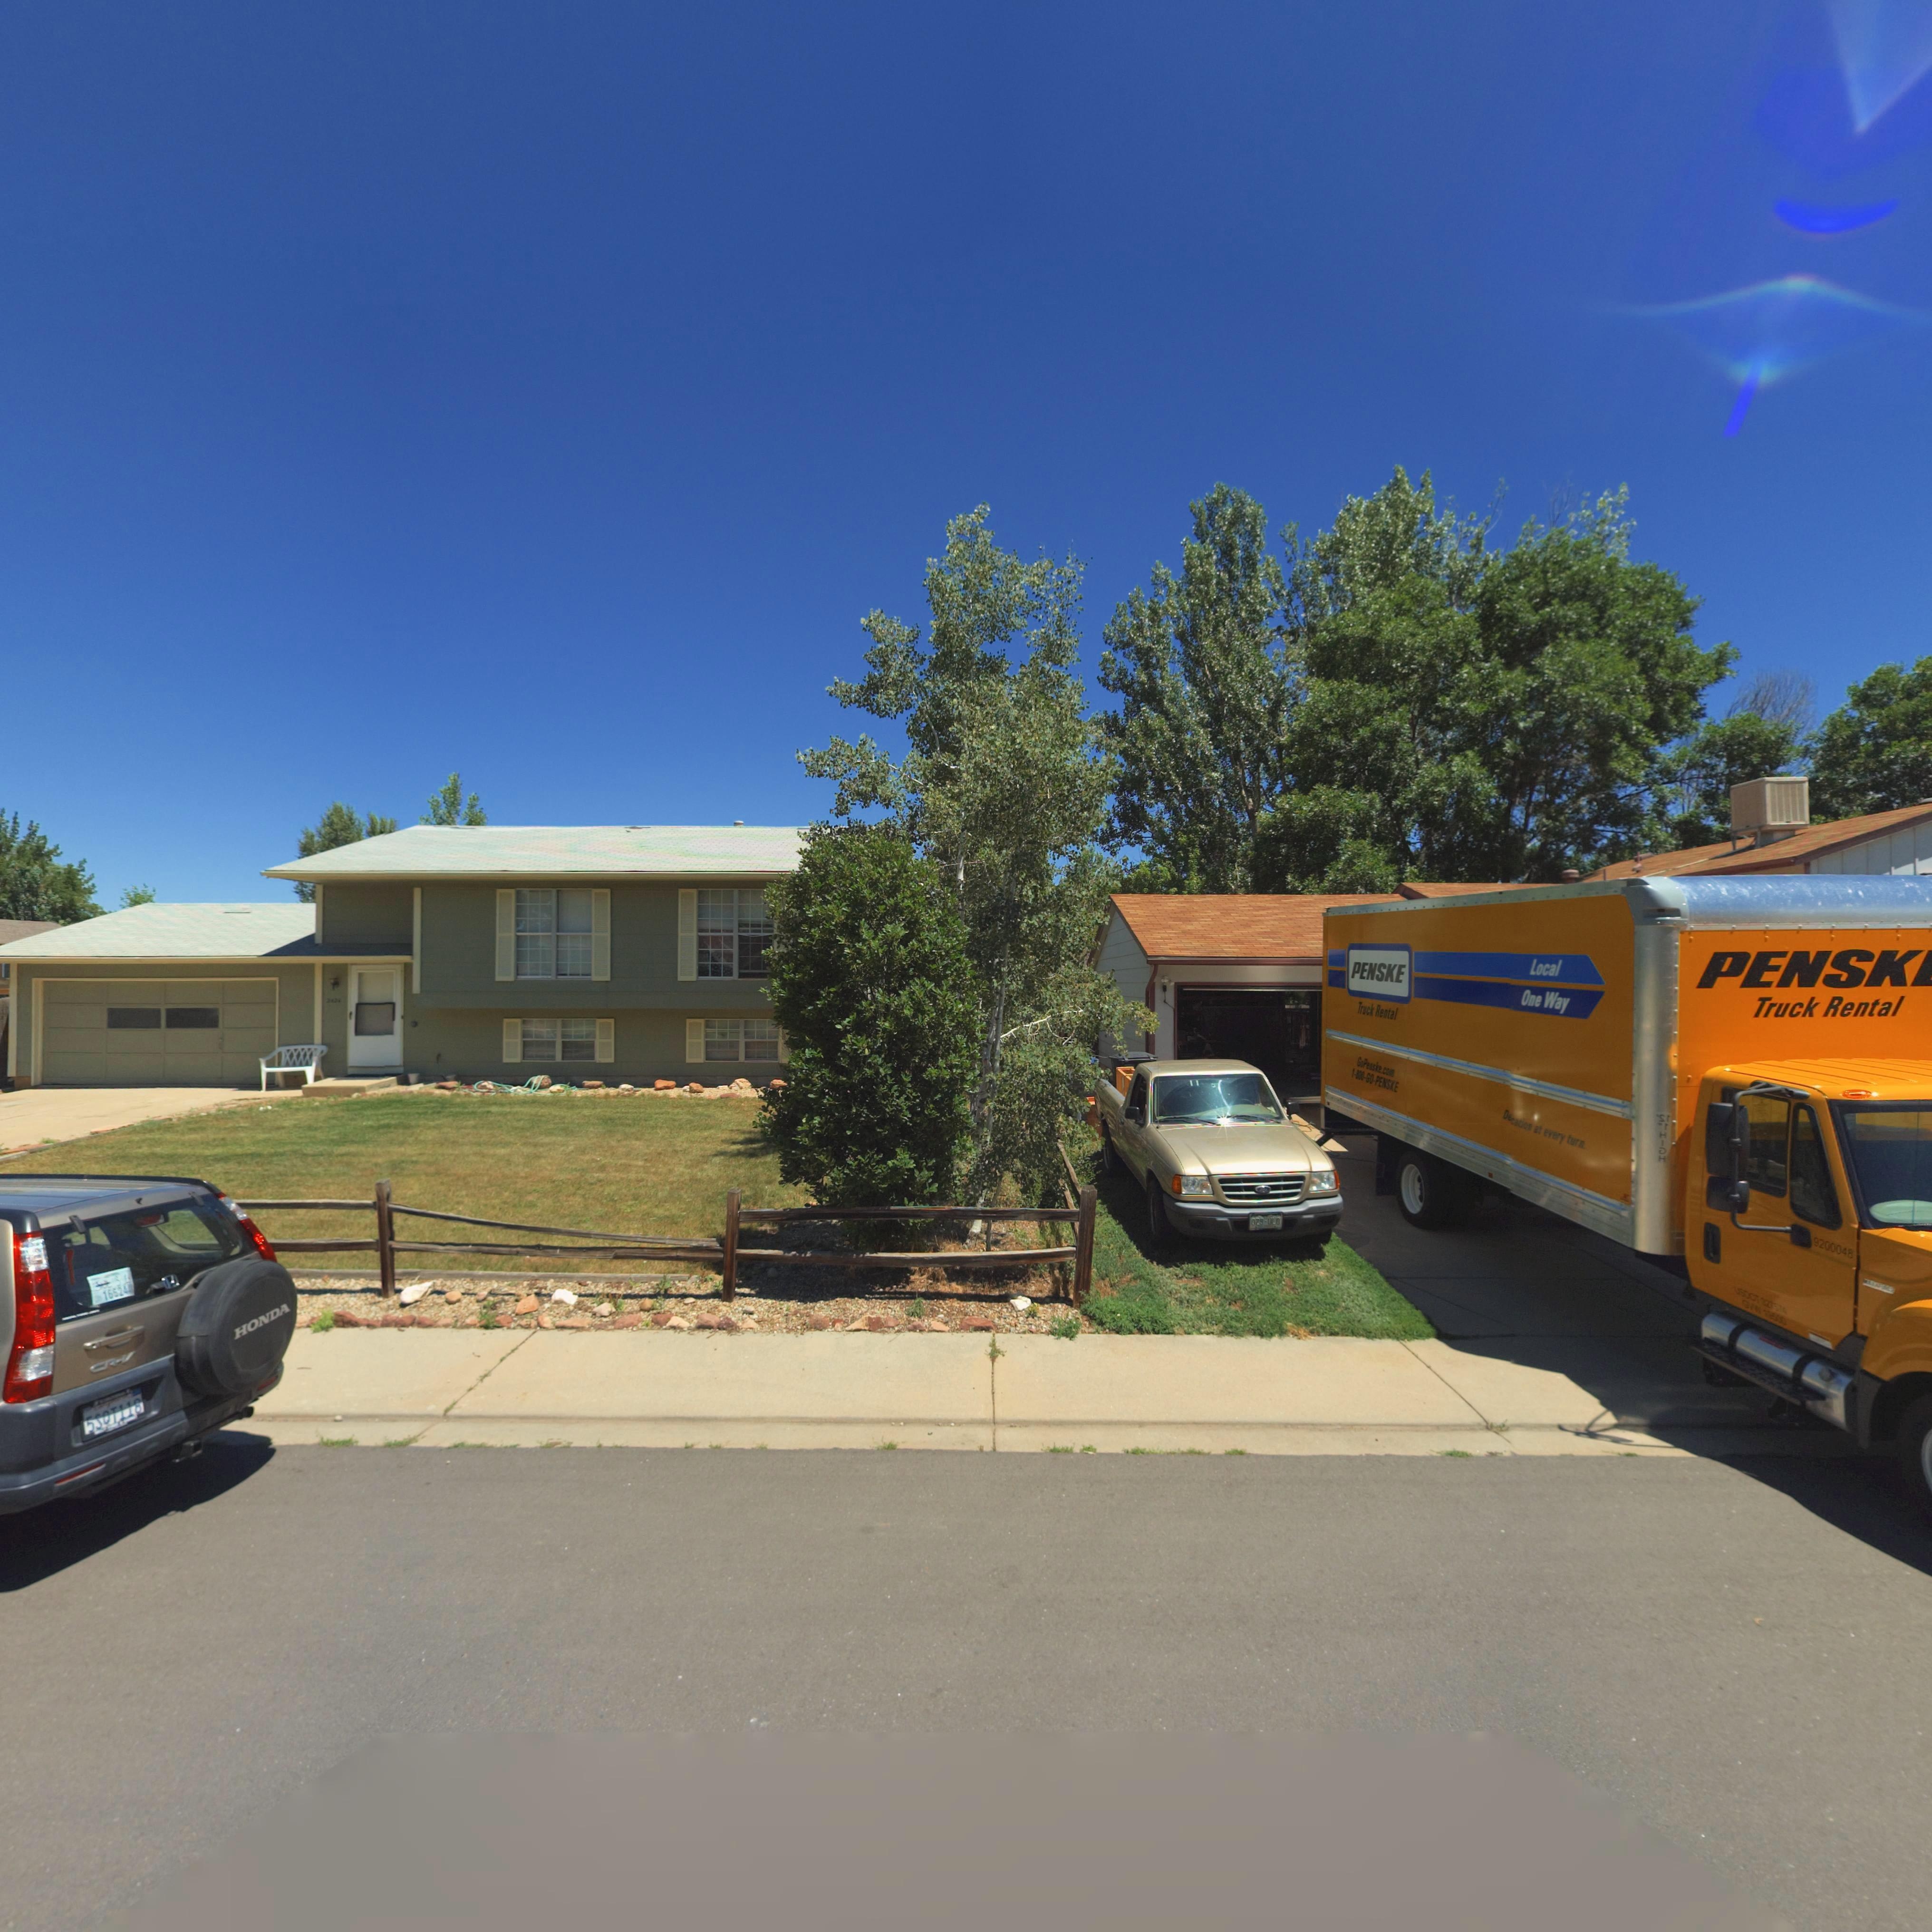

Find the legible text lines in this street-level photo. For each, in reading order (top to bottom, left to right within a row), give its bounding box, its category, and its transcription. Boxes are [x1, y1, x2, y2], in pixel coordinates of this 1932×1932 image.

[326, 998, 341, 1003] StreetNumber: 2424